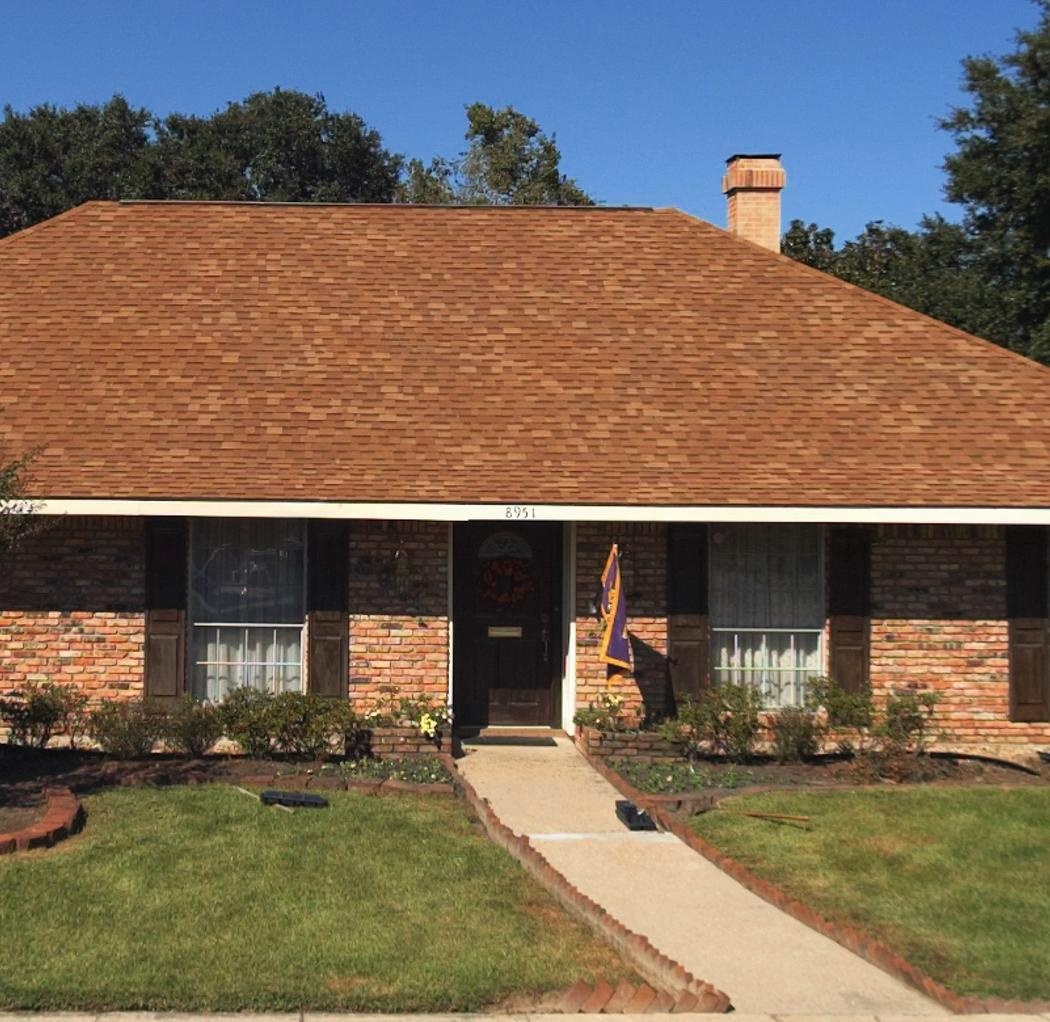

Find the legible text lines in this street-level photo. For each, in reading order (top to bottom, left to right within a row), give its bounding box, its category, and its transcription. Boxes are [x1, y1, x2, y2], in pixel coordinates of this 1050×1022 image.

[504, 505, 537, 520] StreetNumber: 8951